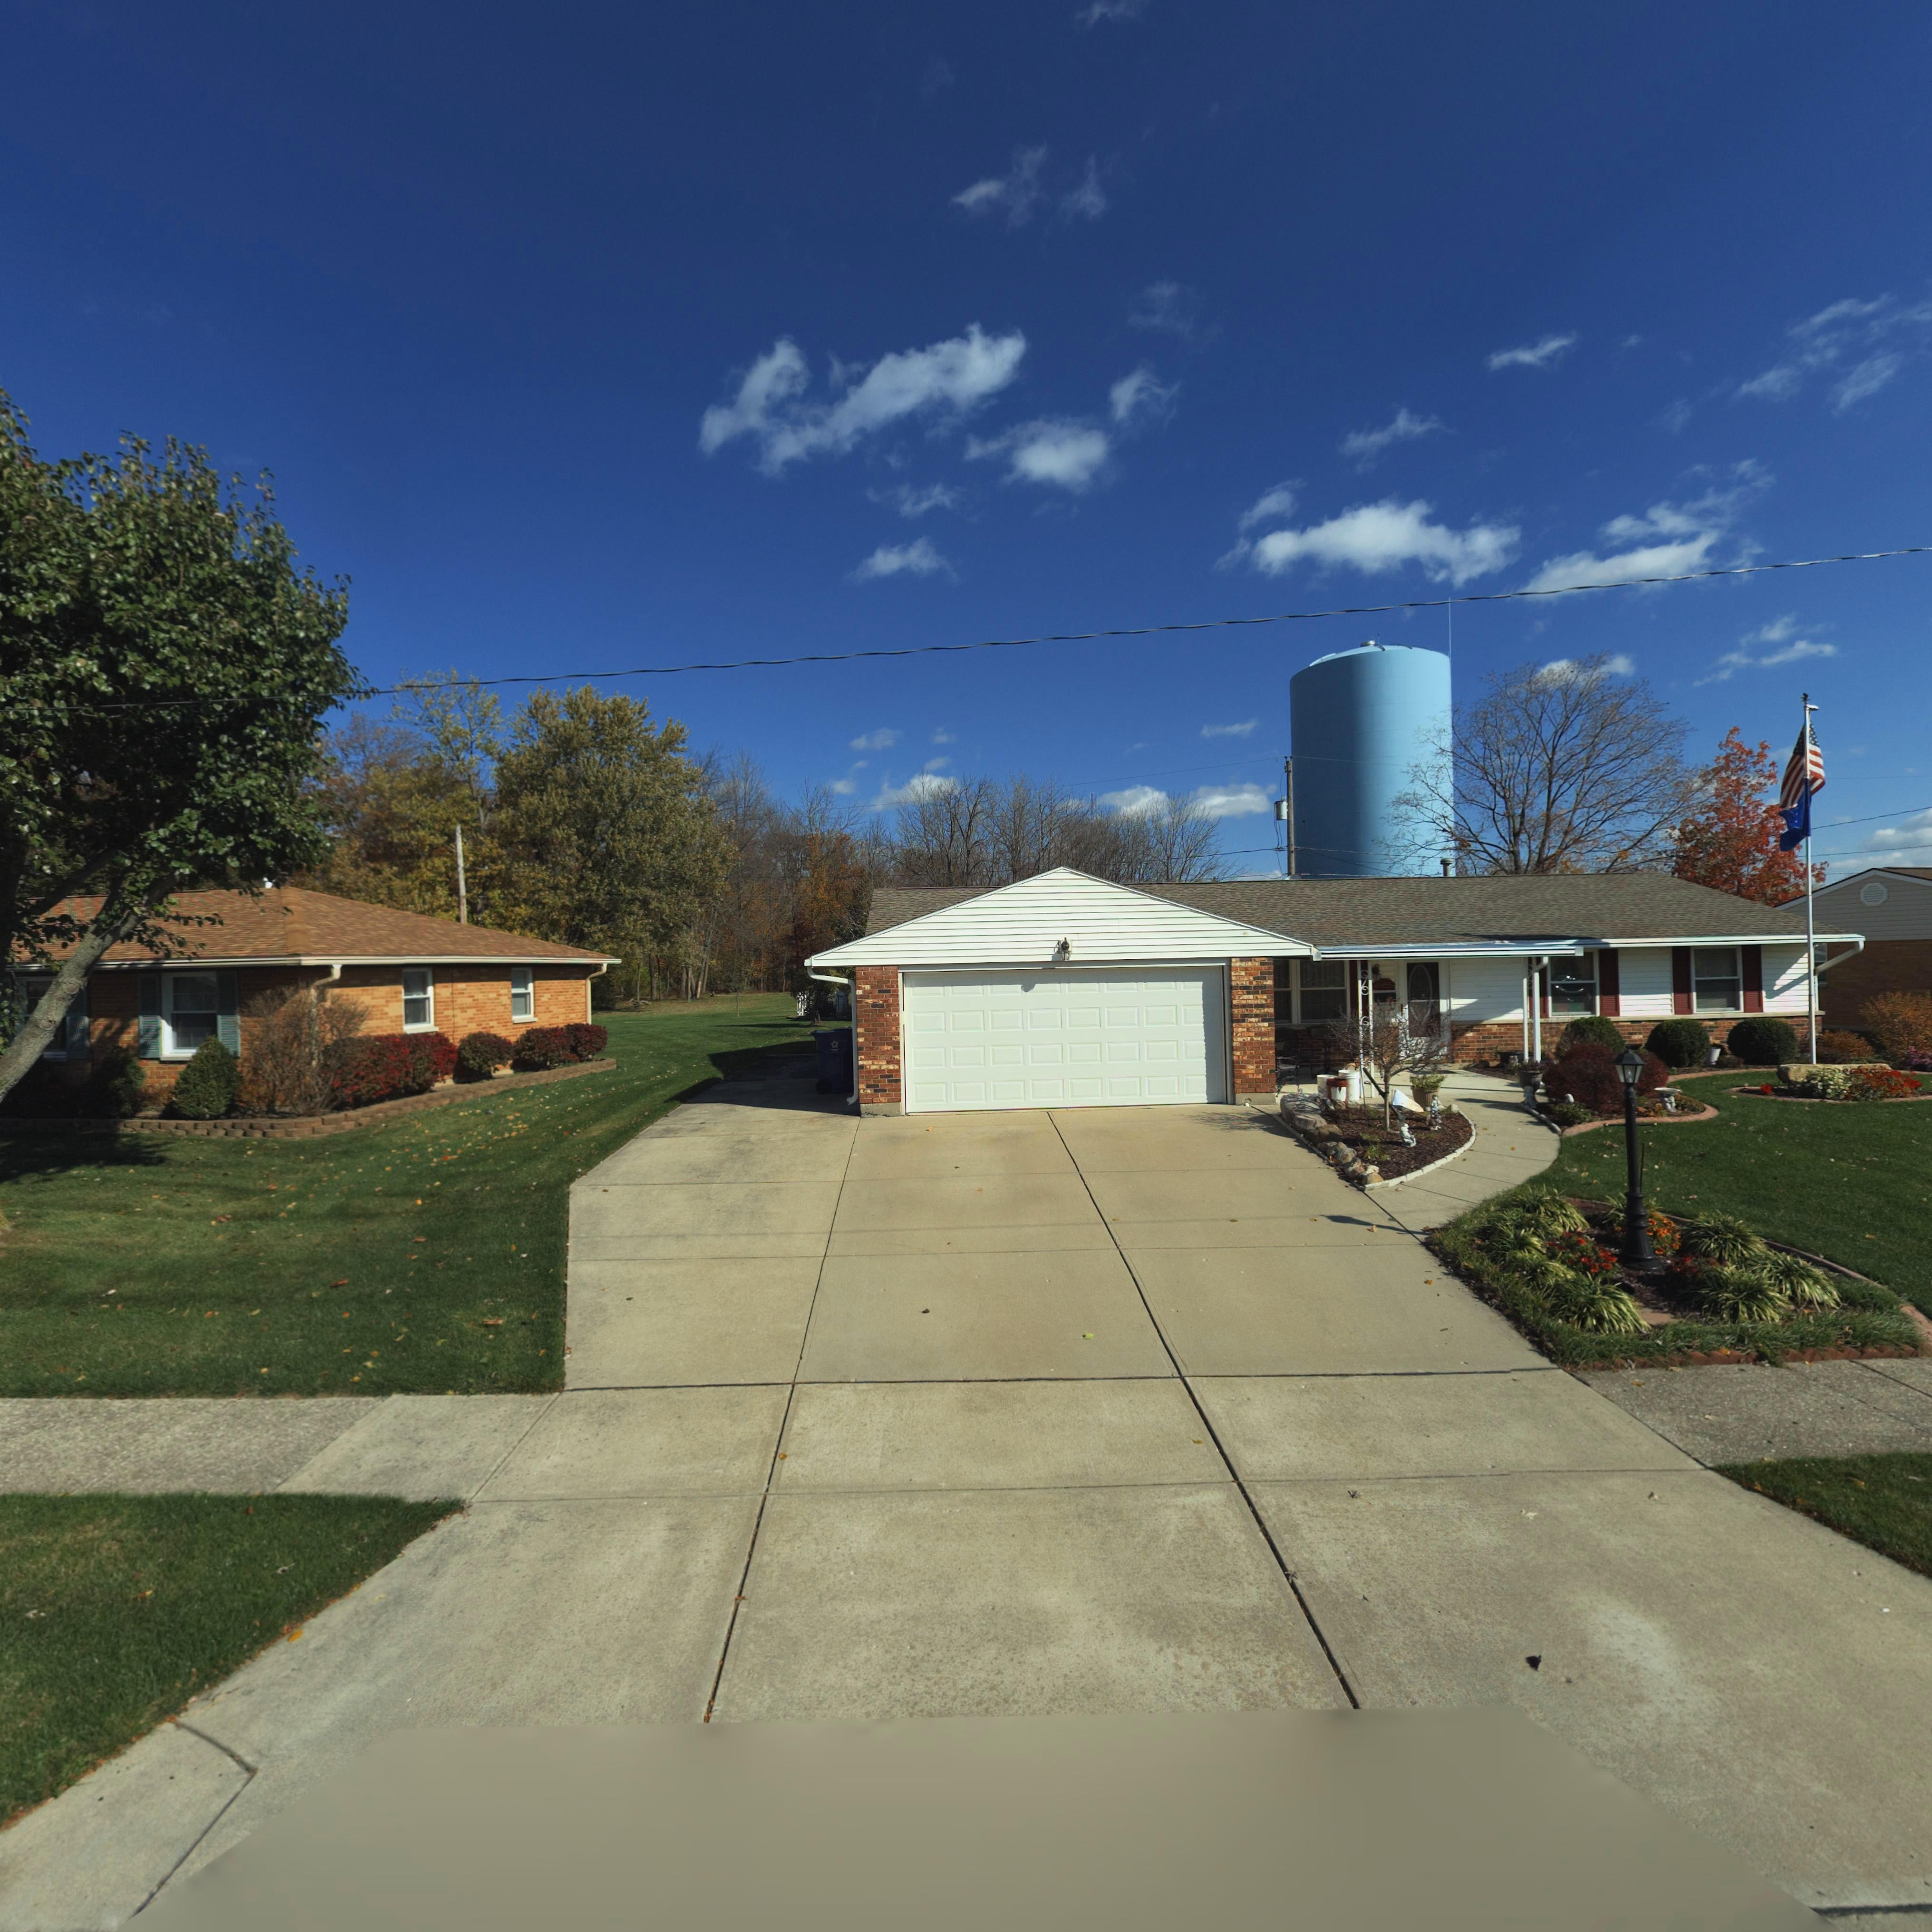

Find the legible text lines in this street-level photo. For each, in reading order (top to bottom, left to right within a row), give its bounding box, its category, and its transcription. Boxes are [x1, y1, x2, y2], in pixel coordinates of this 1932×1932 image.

[1375, 981, 1393, 989] StreetNumber: 6455